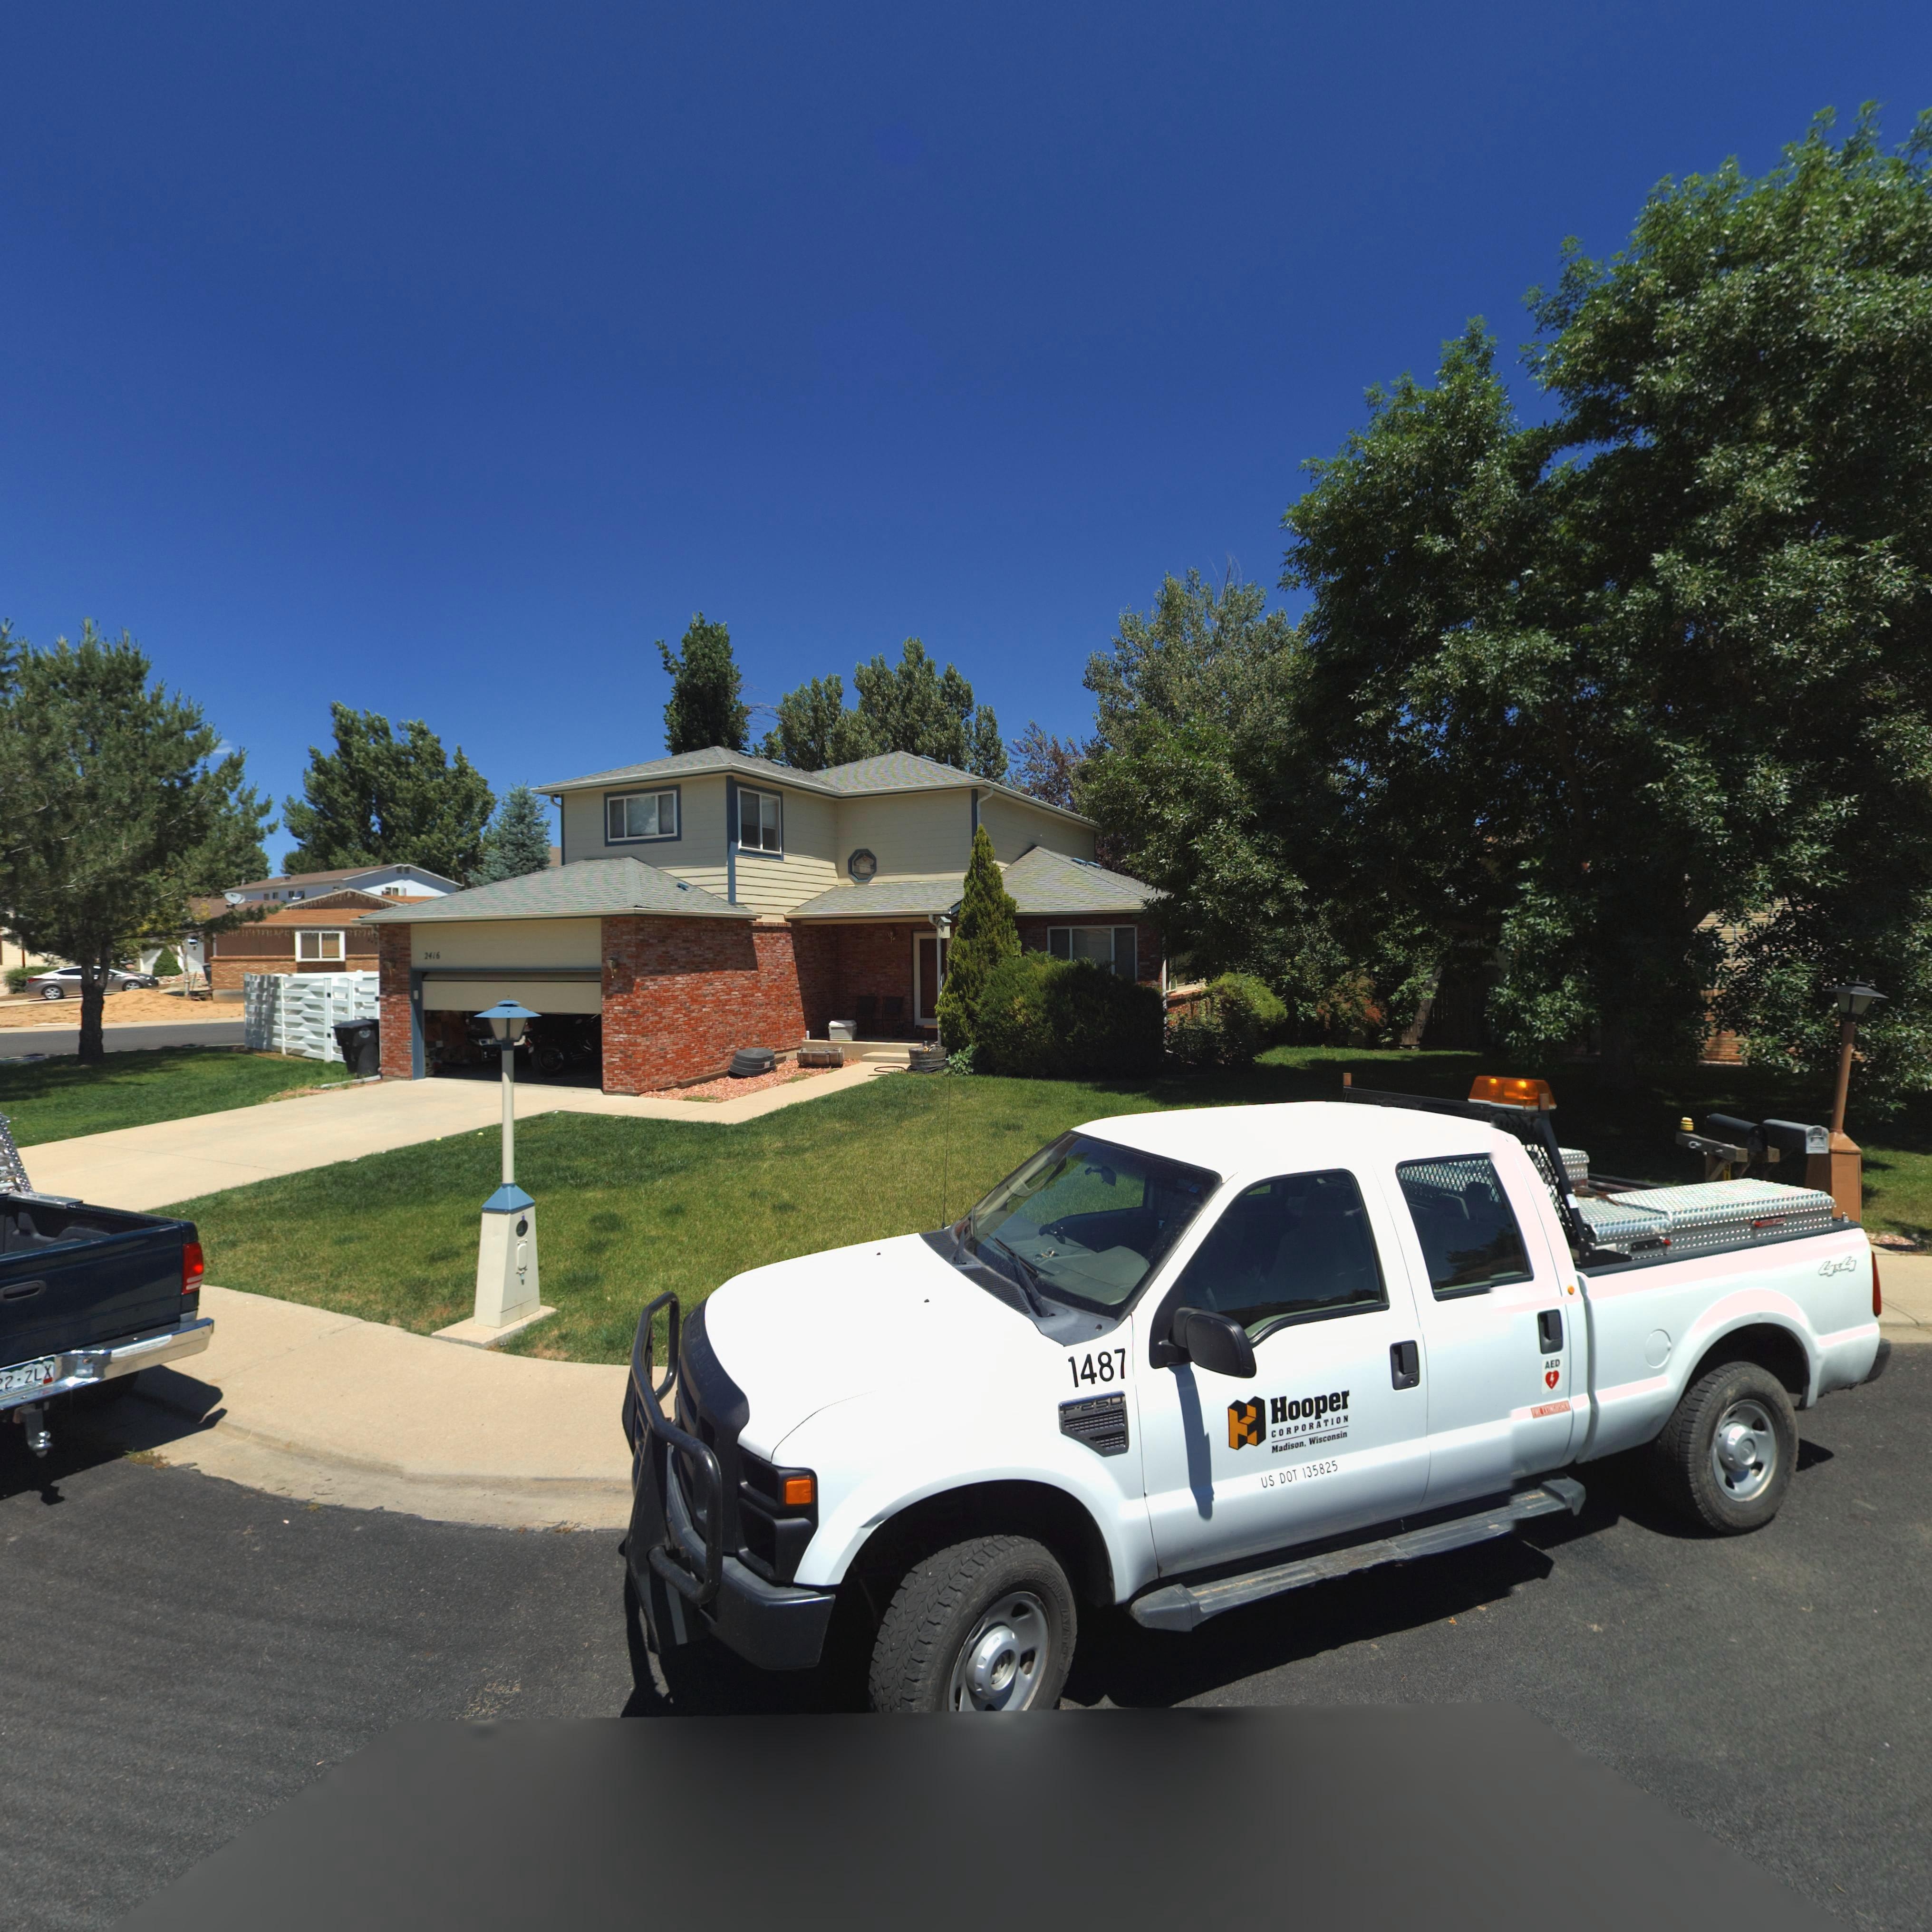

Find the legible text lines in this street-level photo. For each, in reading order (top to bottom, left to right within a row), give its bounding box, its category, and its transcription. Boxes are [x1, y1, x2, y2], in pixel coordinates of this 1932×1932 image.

[424, 951, 440, 959] StreetNumber: 2416